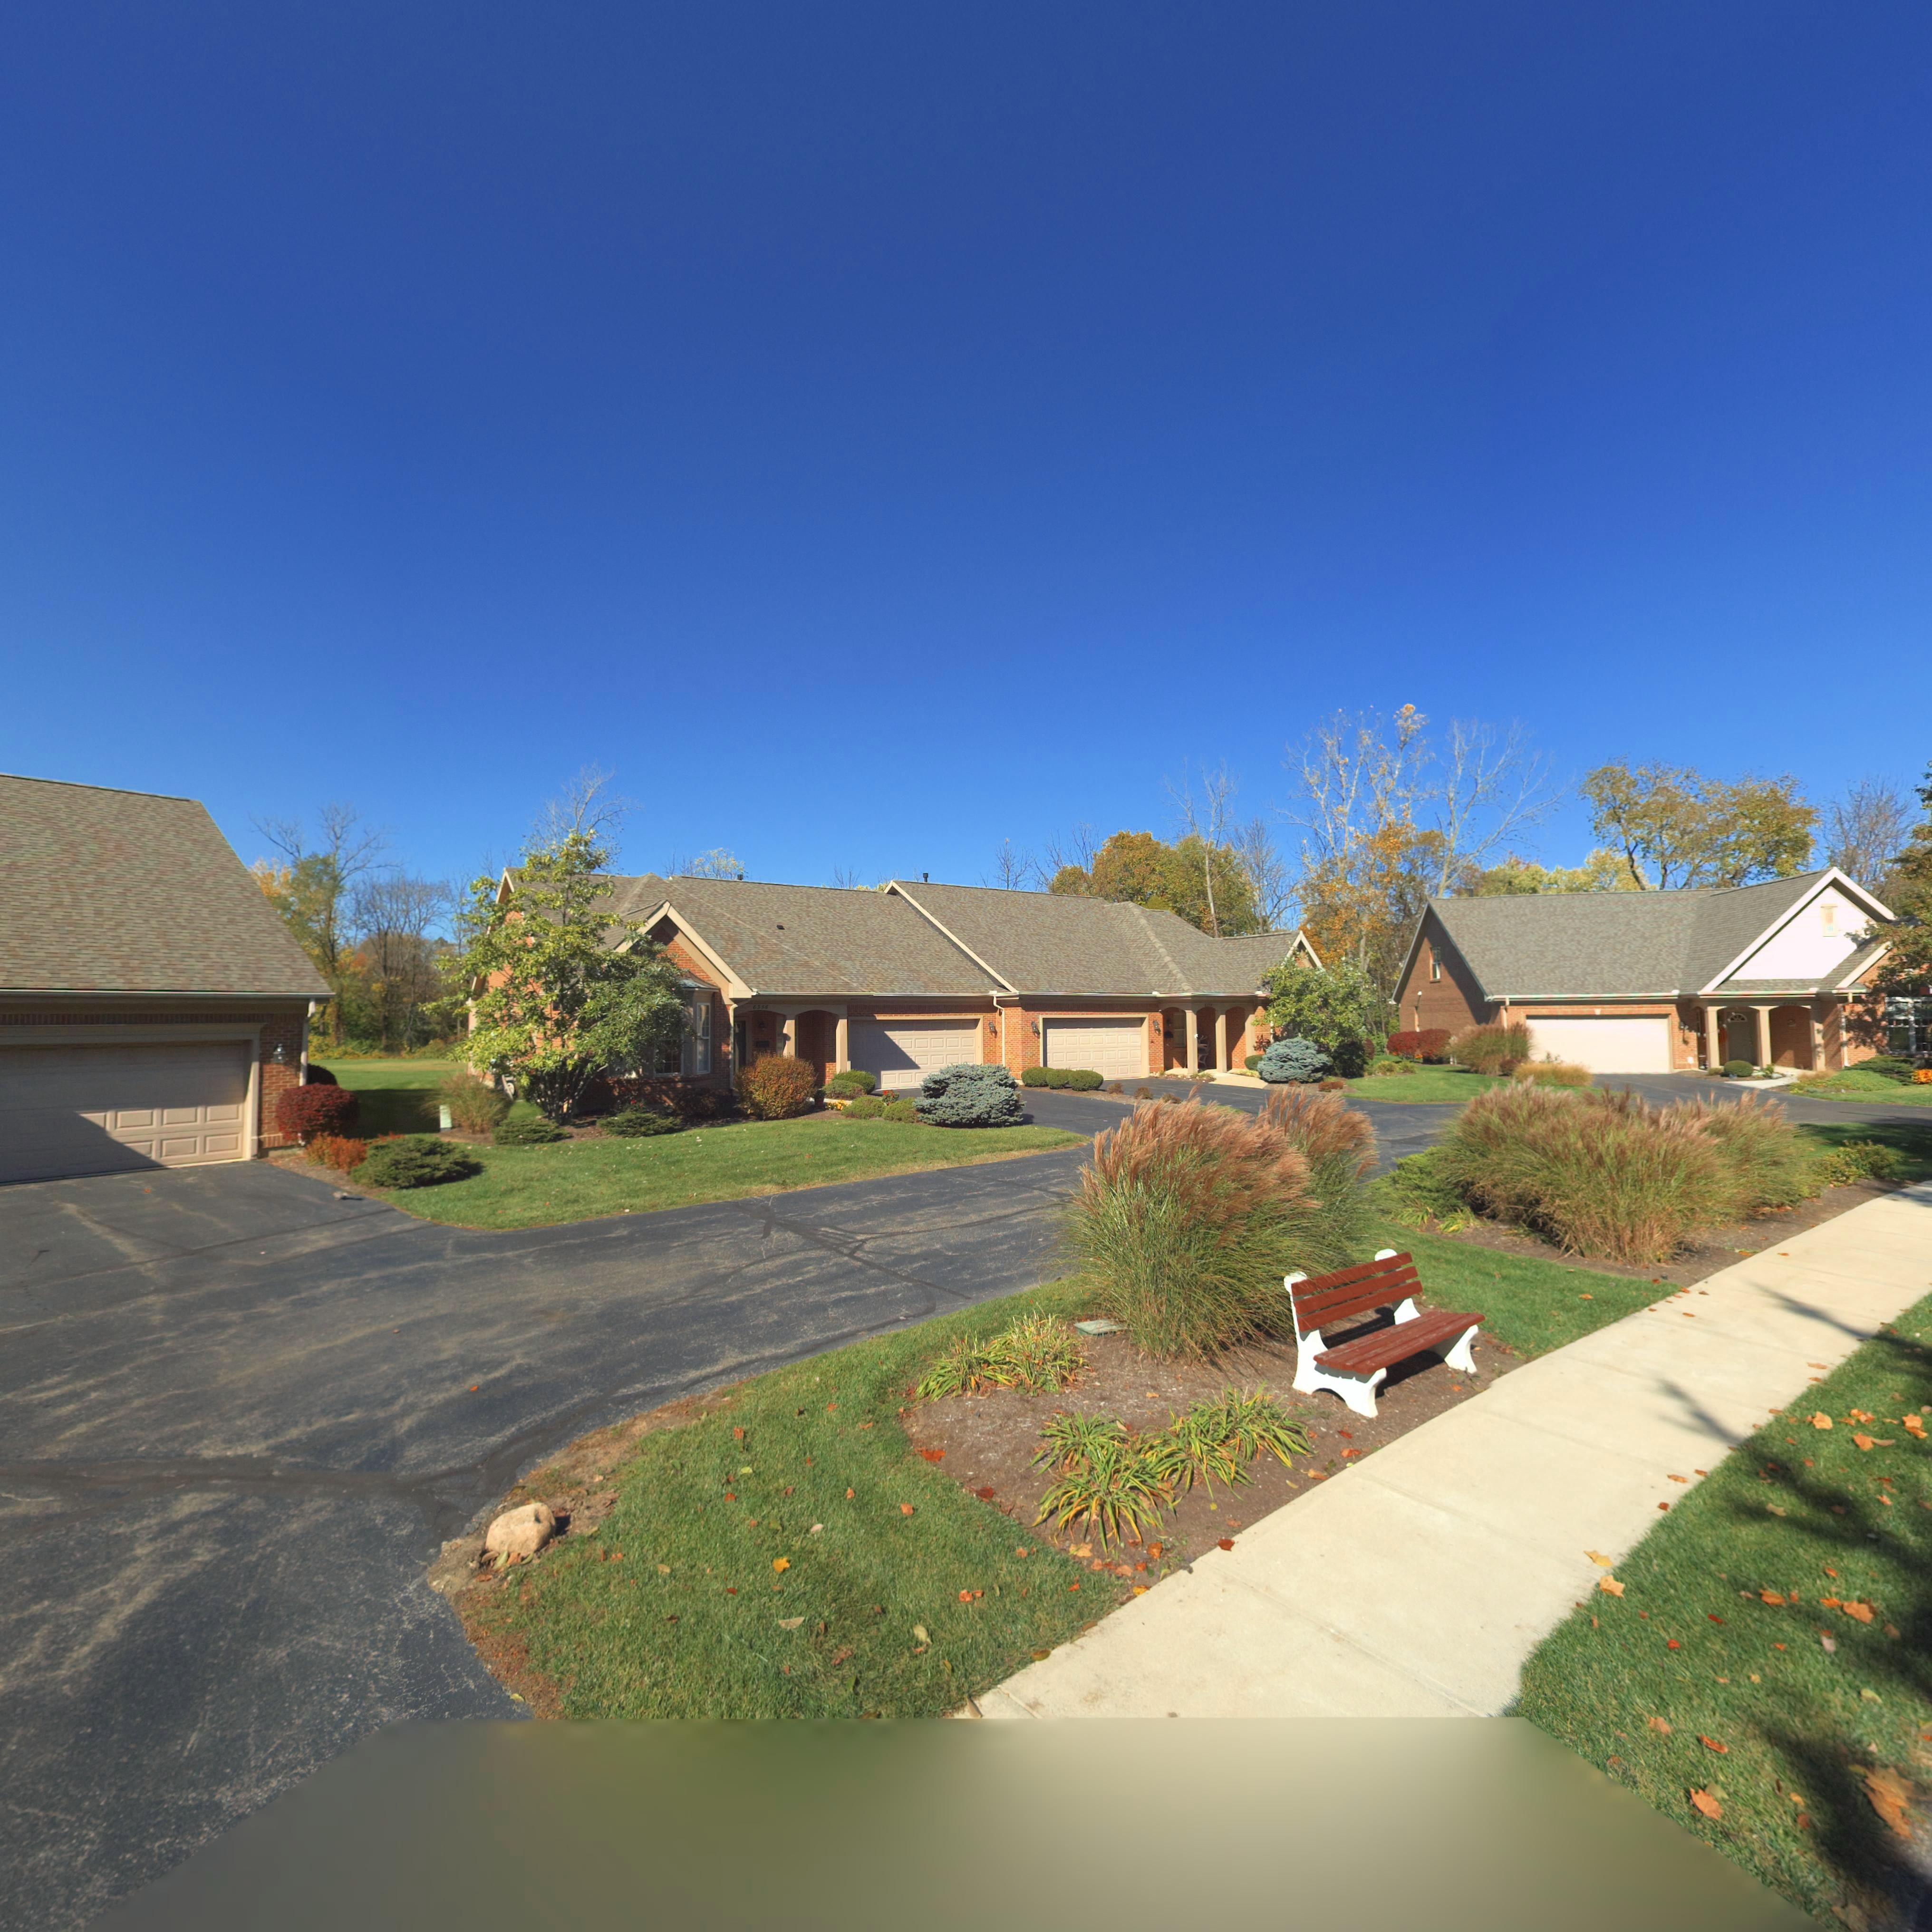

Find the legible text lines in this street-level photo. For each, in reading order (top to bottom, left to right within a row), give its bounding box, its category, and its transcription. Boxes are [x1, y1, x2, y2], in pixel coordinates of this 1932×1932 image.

[752, 1004, 769, 1011] StreetNumber: 6**6